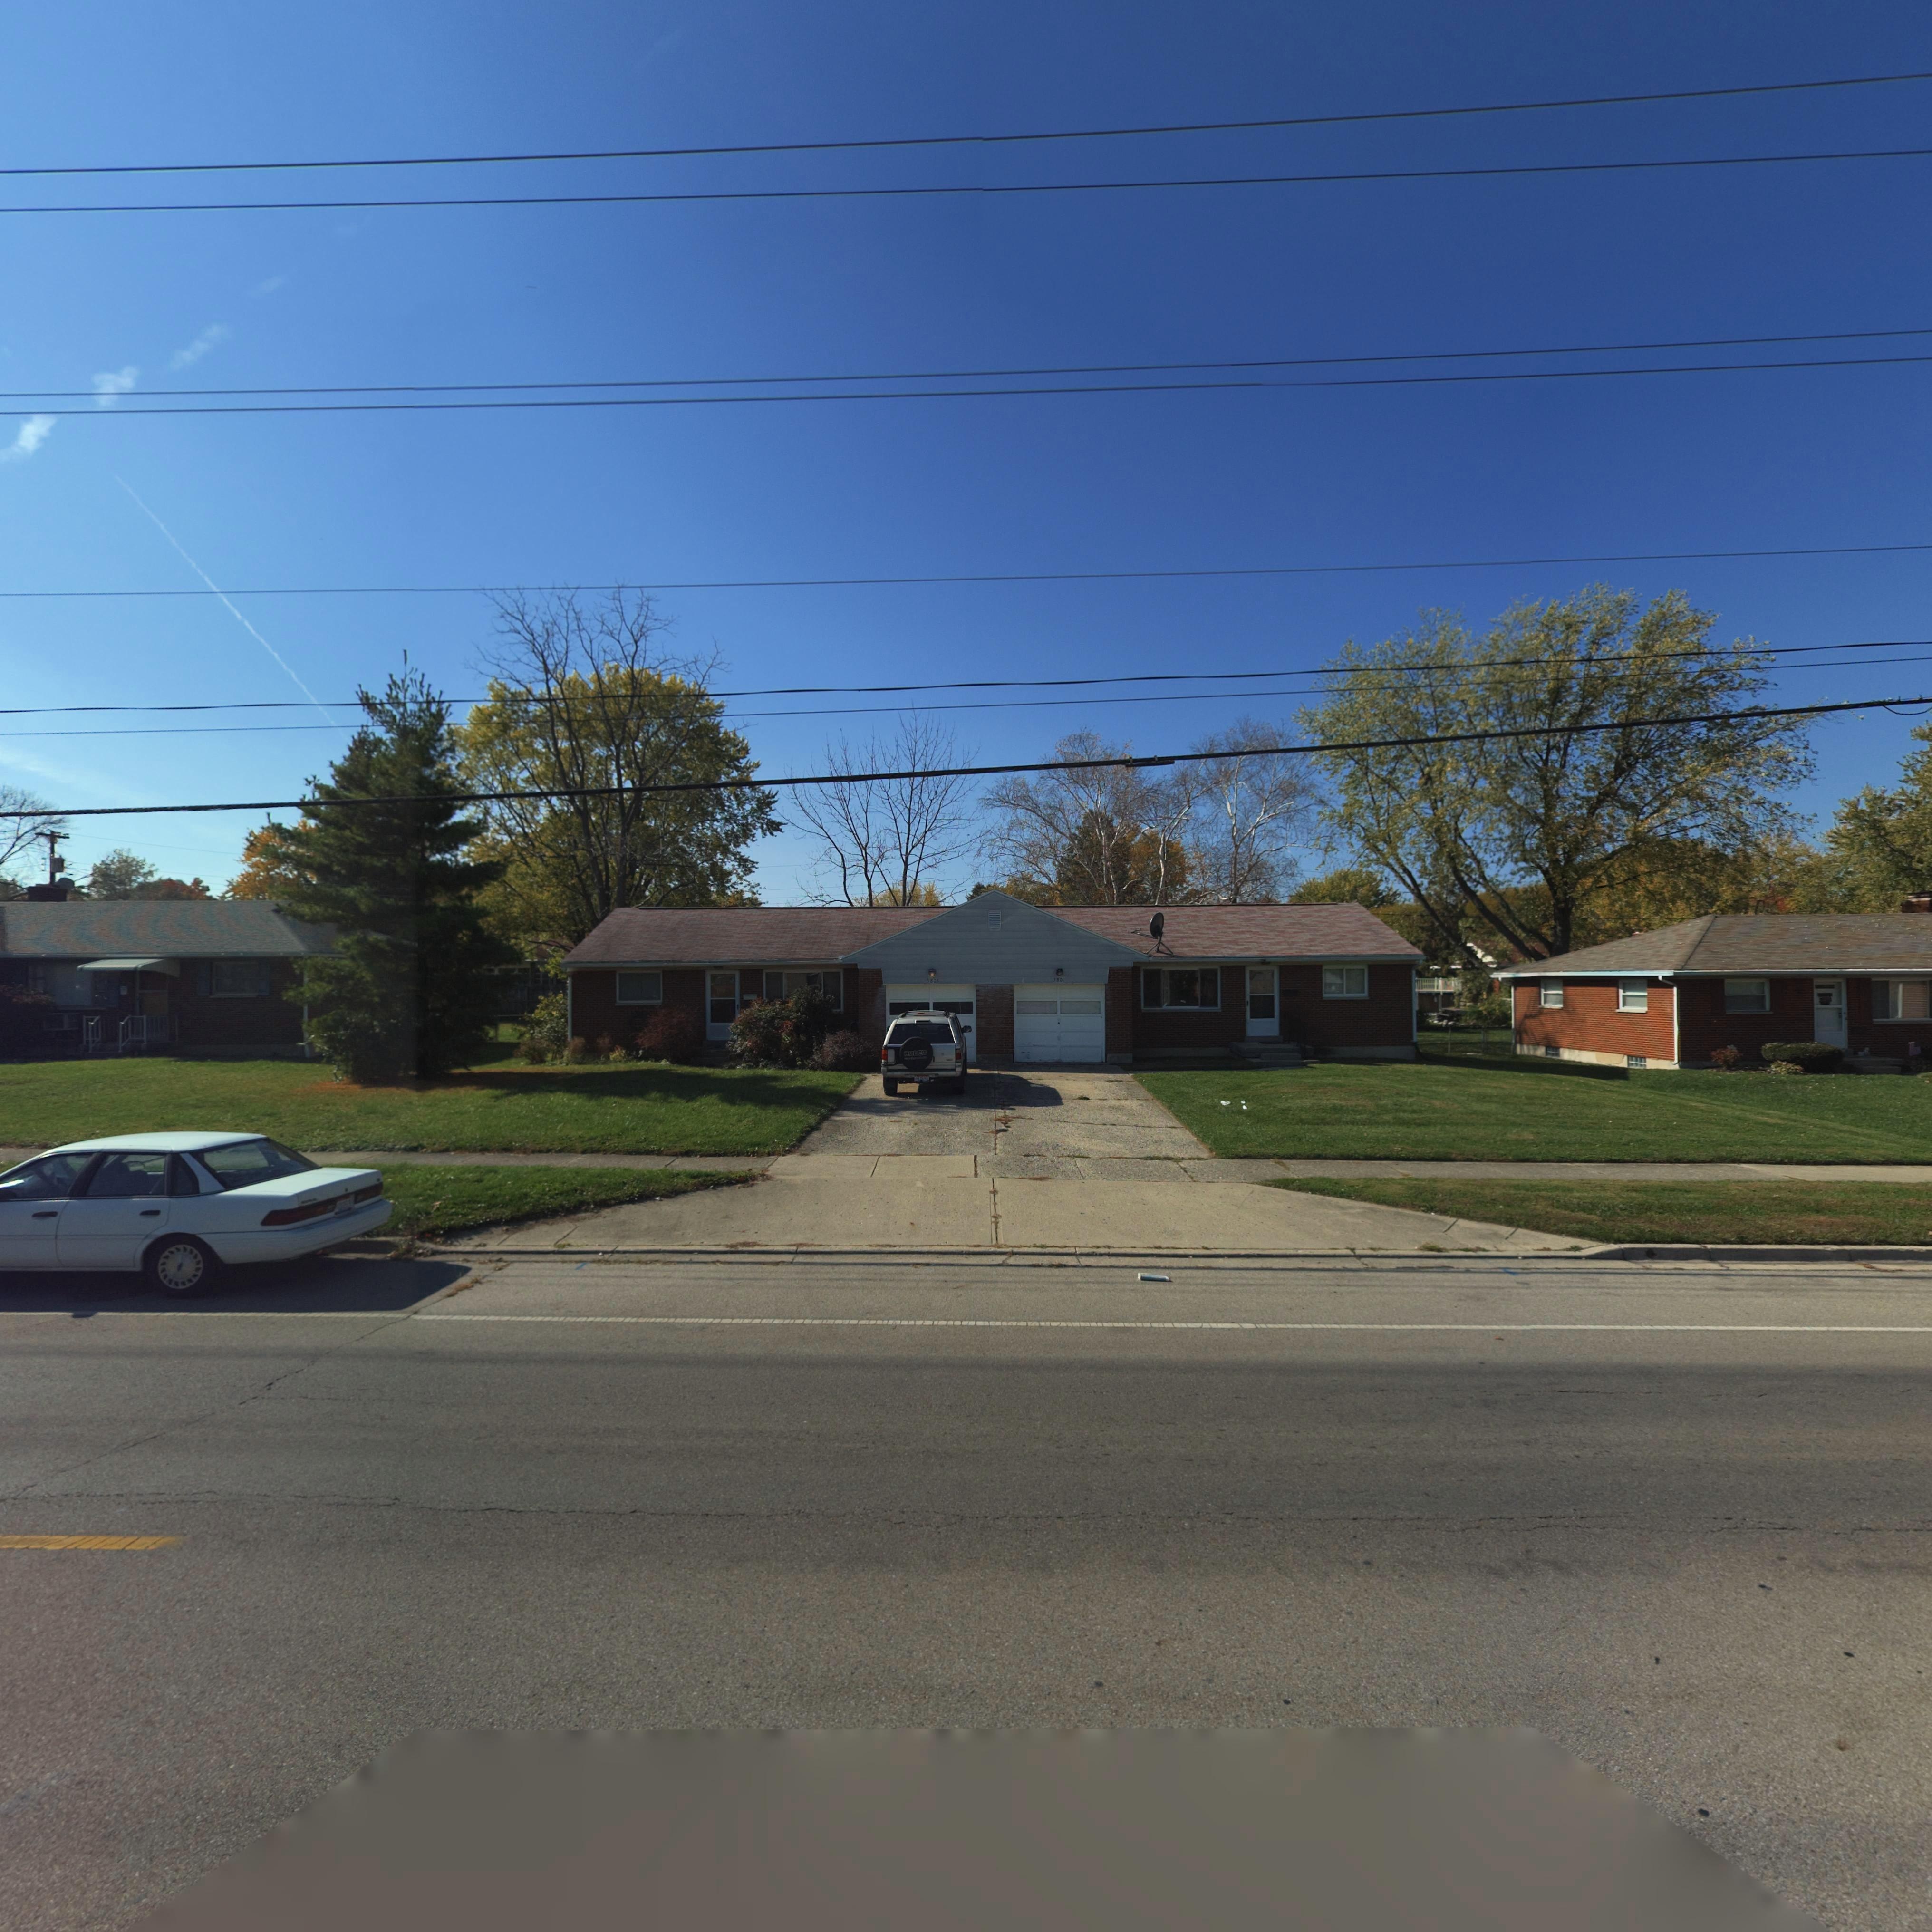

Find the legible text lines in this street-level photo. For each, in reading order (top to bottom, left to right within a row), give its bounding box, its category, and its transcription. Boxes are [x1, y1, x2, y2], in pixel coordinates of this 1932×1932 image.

[926, 977, 939, 984] StreetNumber: 3805
[1053, 976, 1065, 982] StreetNumber: 3801
[904, 1049, 927, 1057] None: RODEO